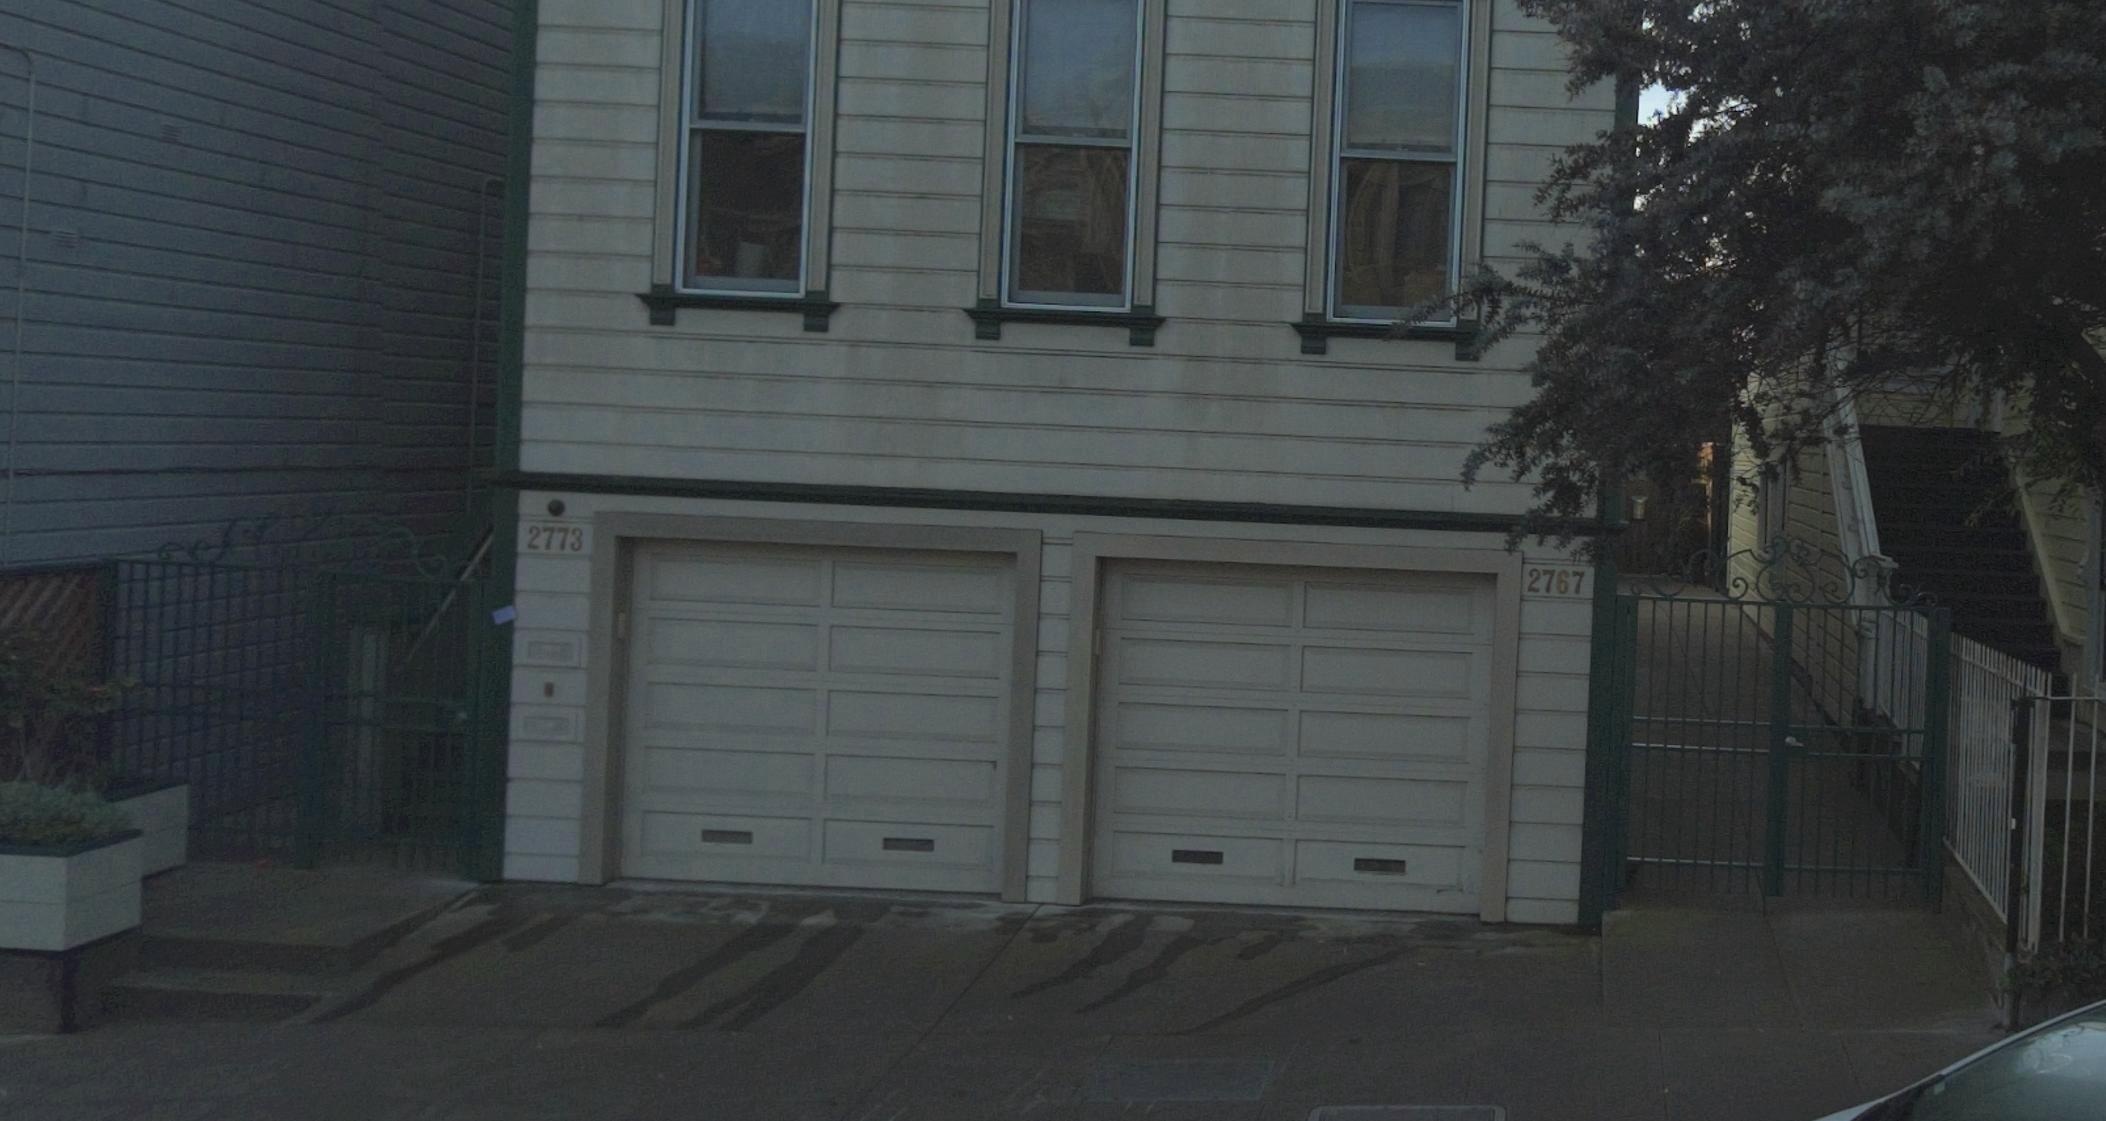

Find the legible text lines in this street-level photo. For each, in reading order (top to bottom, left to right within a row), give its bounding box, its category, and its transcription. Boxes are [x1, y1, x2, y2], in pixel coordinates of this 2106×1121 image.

[523, 522, 587, 555] StreetNumber: 2773
[1523, 565, 1591, 599] StreetNumber: 2767